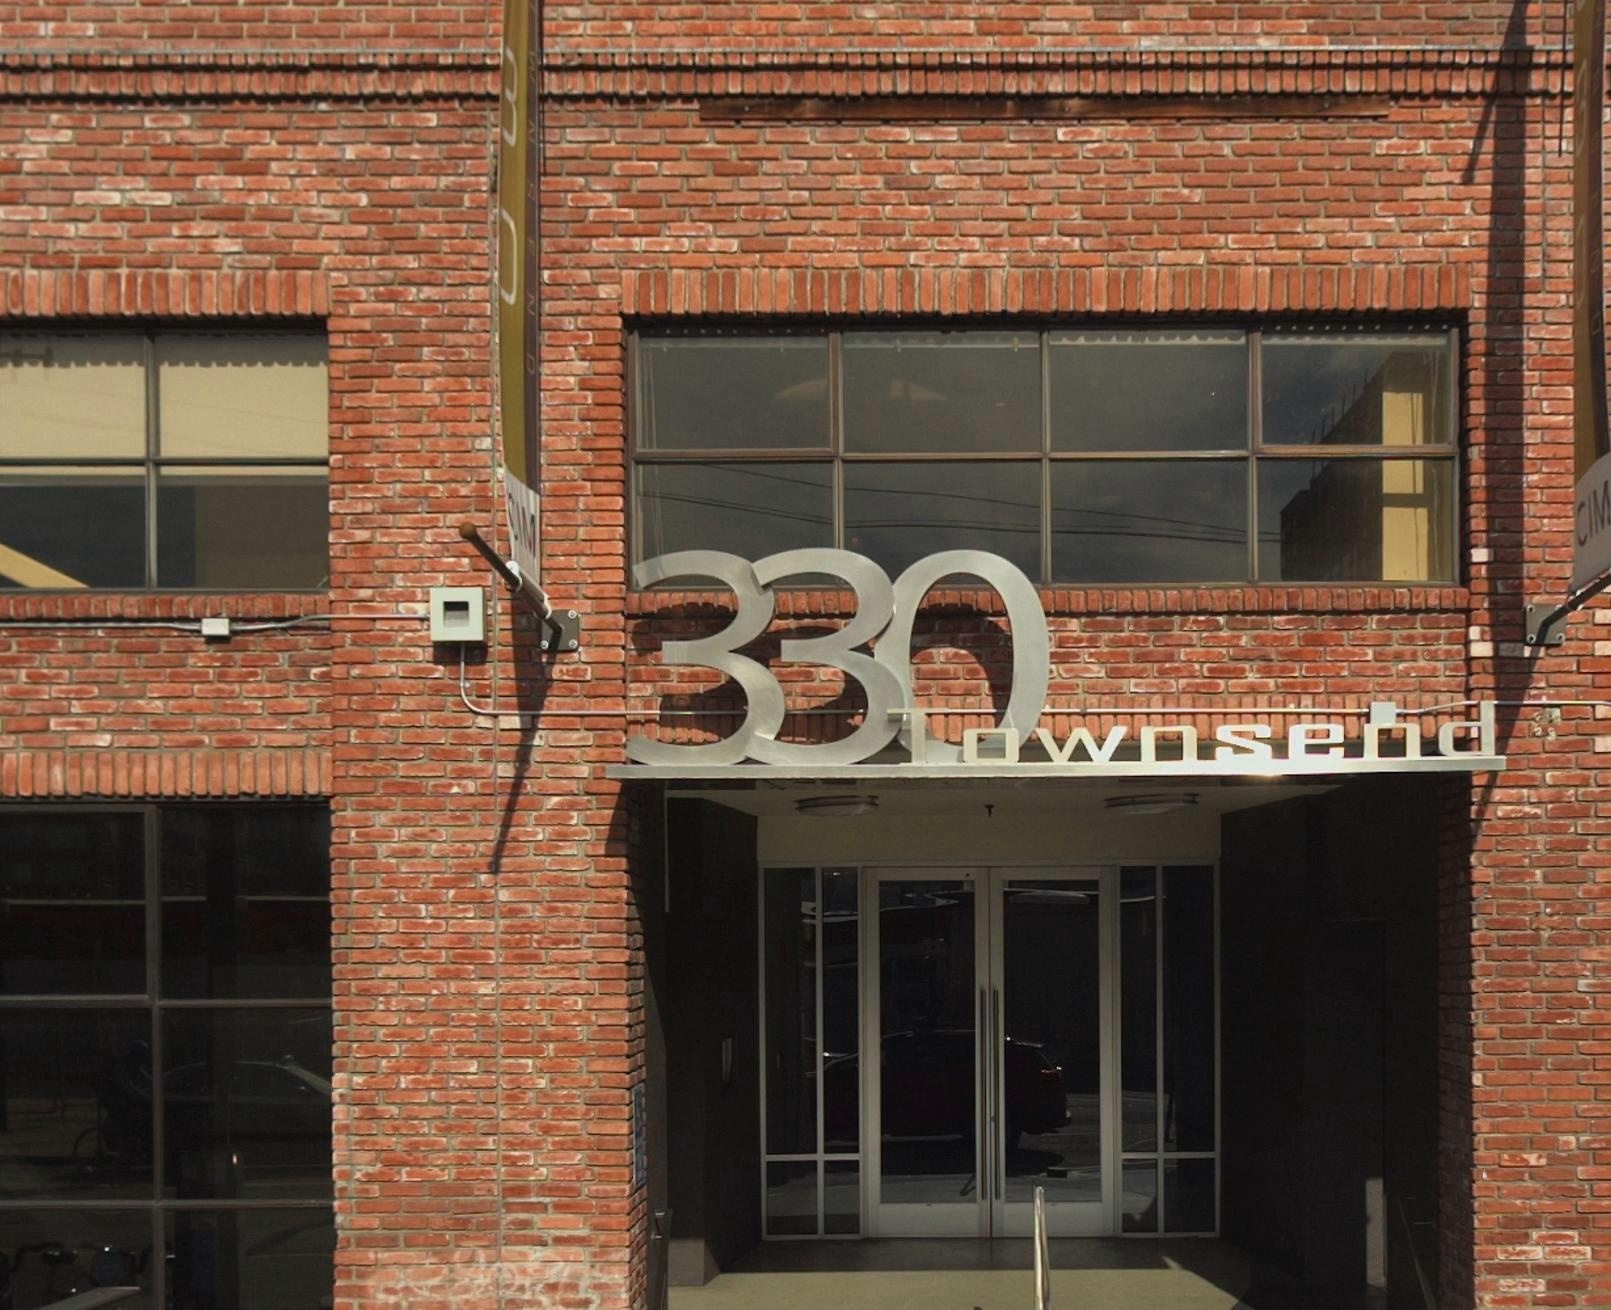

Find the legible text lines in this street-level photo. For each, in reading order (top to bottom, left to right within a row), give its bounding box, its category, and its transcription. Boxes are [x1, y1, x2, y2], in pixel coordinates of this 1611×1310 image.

[1573, 473, 1610, 551] BusinessName: CIM
[620, 544, 907, 770] StreetNumber: 33
[1030, 693, 1500, 769] StreetName: wnsend